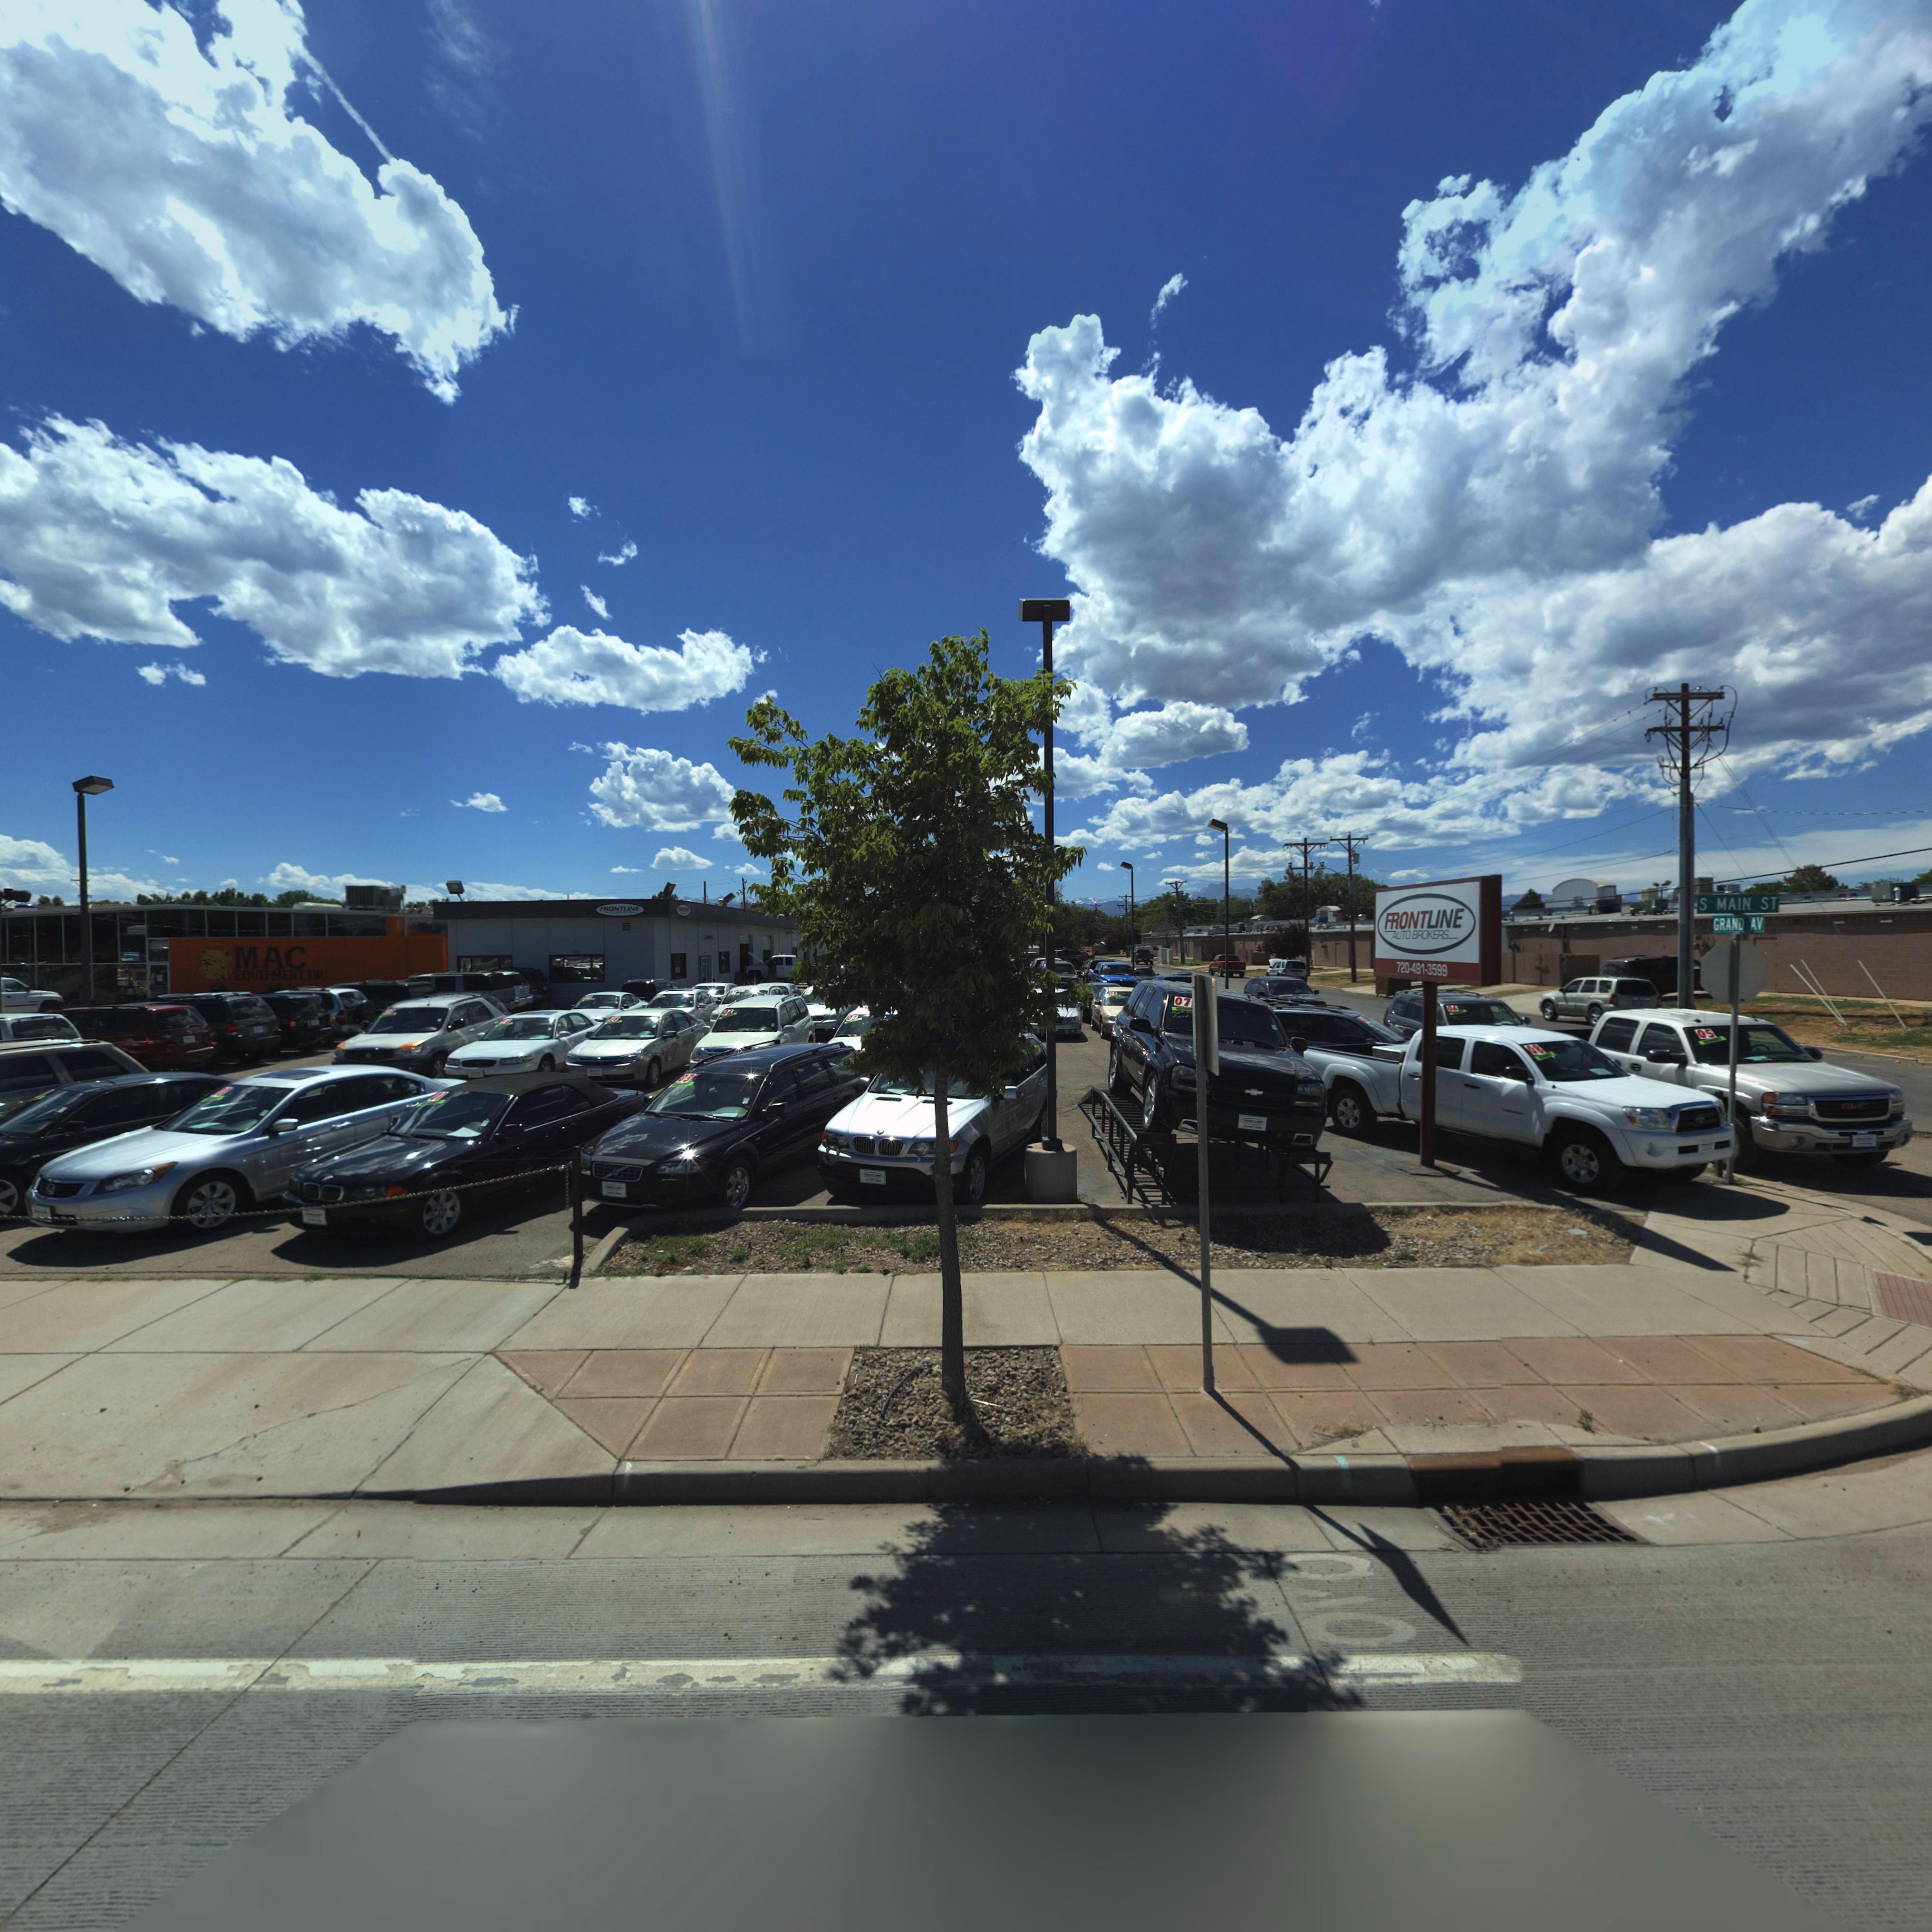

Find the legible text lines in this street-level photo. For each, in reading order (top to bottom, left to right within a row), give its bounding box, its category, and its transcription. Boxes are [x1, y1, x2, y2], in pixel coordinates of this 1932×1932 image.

[599, 906, 640, 911] BusinessName: FRONTLINE
[1699, 896, 1777, 911] StreetName: S MAIN ST
[1384, 908, 1465, 929] BusinessName: FRONTLINE
[1713, 917, 1764, 930] StreetName: GRAND AV
[234, 946, 307, 969] BusinessName: MAC
[234, 969, 328, 981] BusinessName: EQUIPMENT.INC